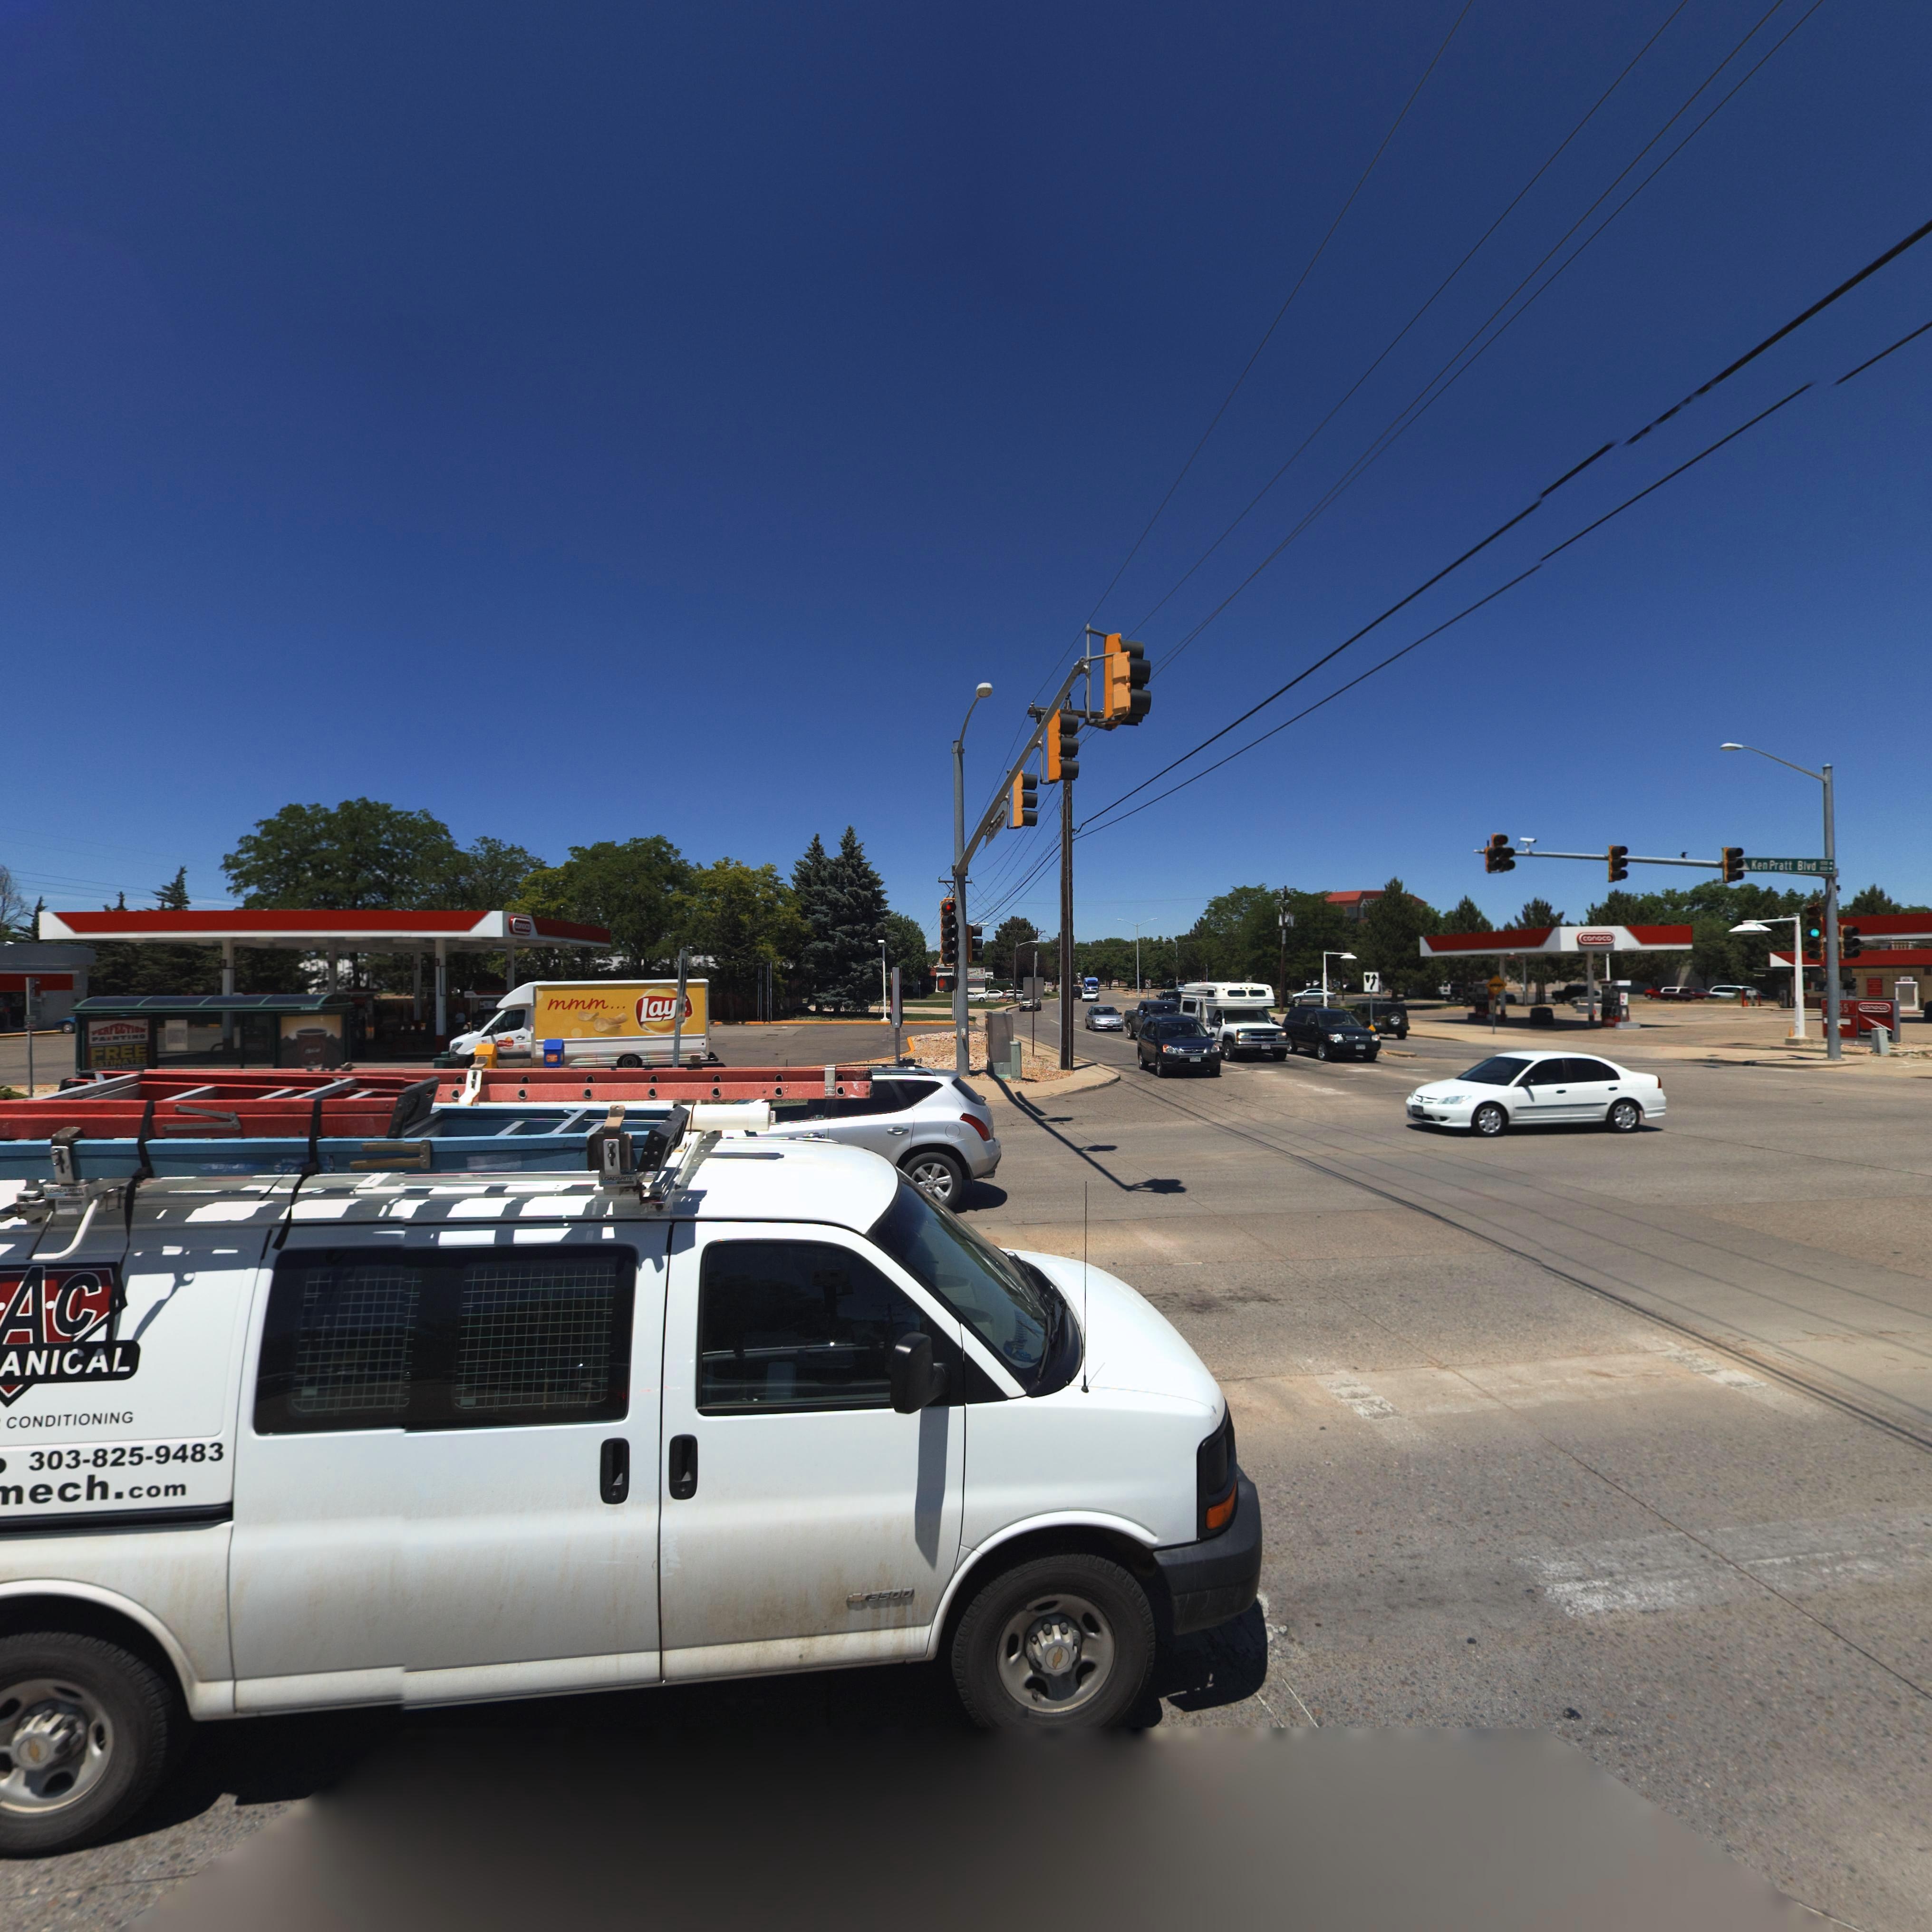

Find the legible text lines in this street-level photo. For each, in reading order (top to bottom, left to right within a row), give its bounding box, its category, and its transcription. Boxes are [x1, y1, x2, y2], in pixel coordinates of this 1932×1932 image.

[1750, 860, 1816, 870] StreetName: Ken Pratt Blvd
[1819, 860, 1828, 866] StreetNumberRange: *00
[1819, 866, 1833, 871] StreetNumberRange: *00->
[514, 922, 531, 930] BusinessName: conoco
[1582, 936, 1612, 941] BusinessName: conoco
[1861, 1005, 1888, 1010] BusinessName: conoco